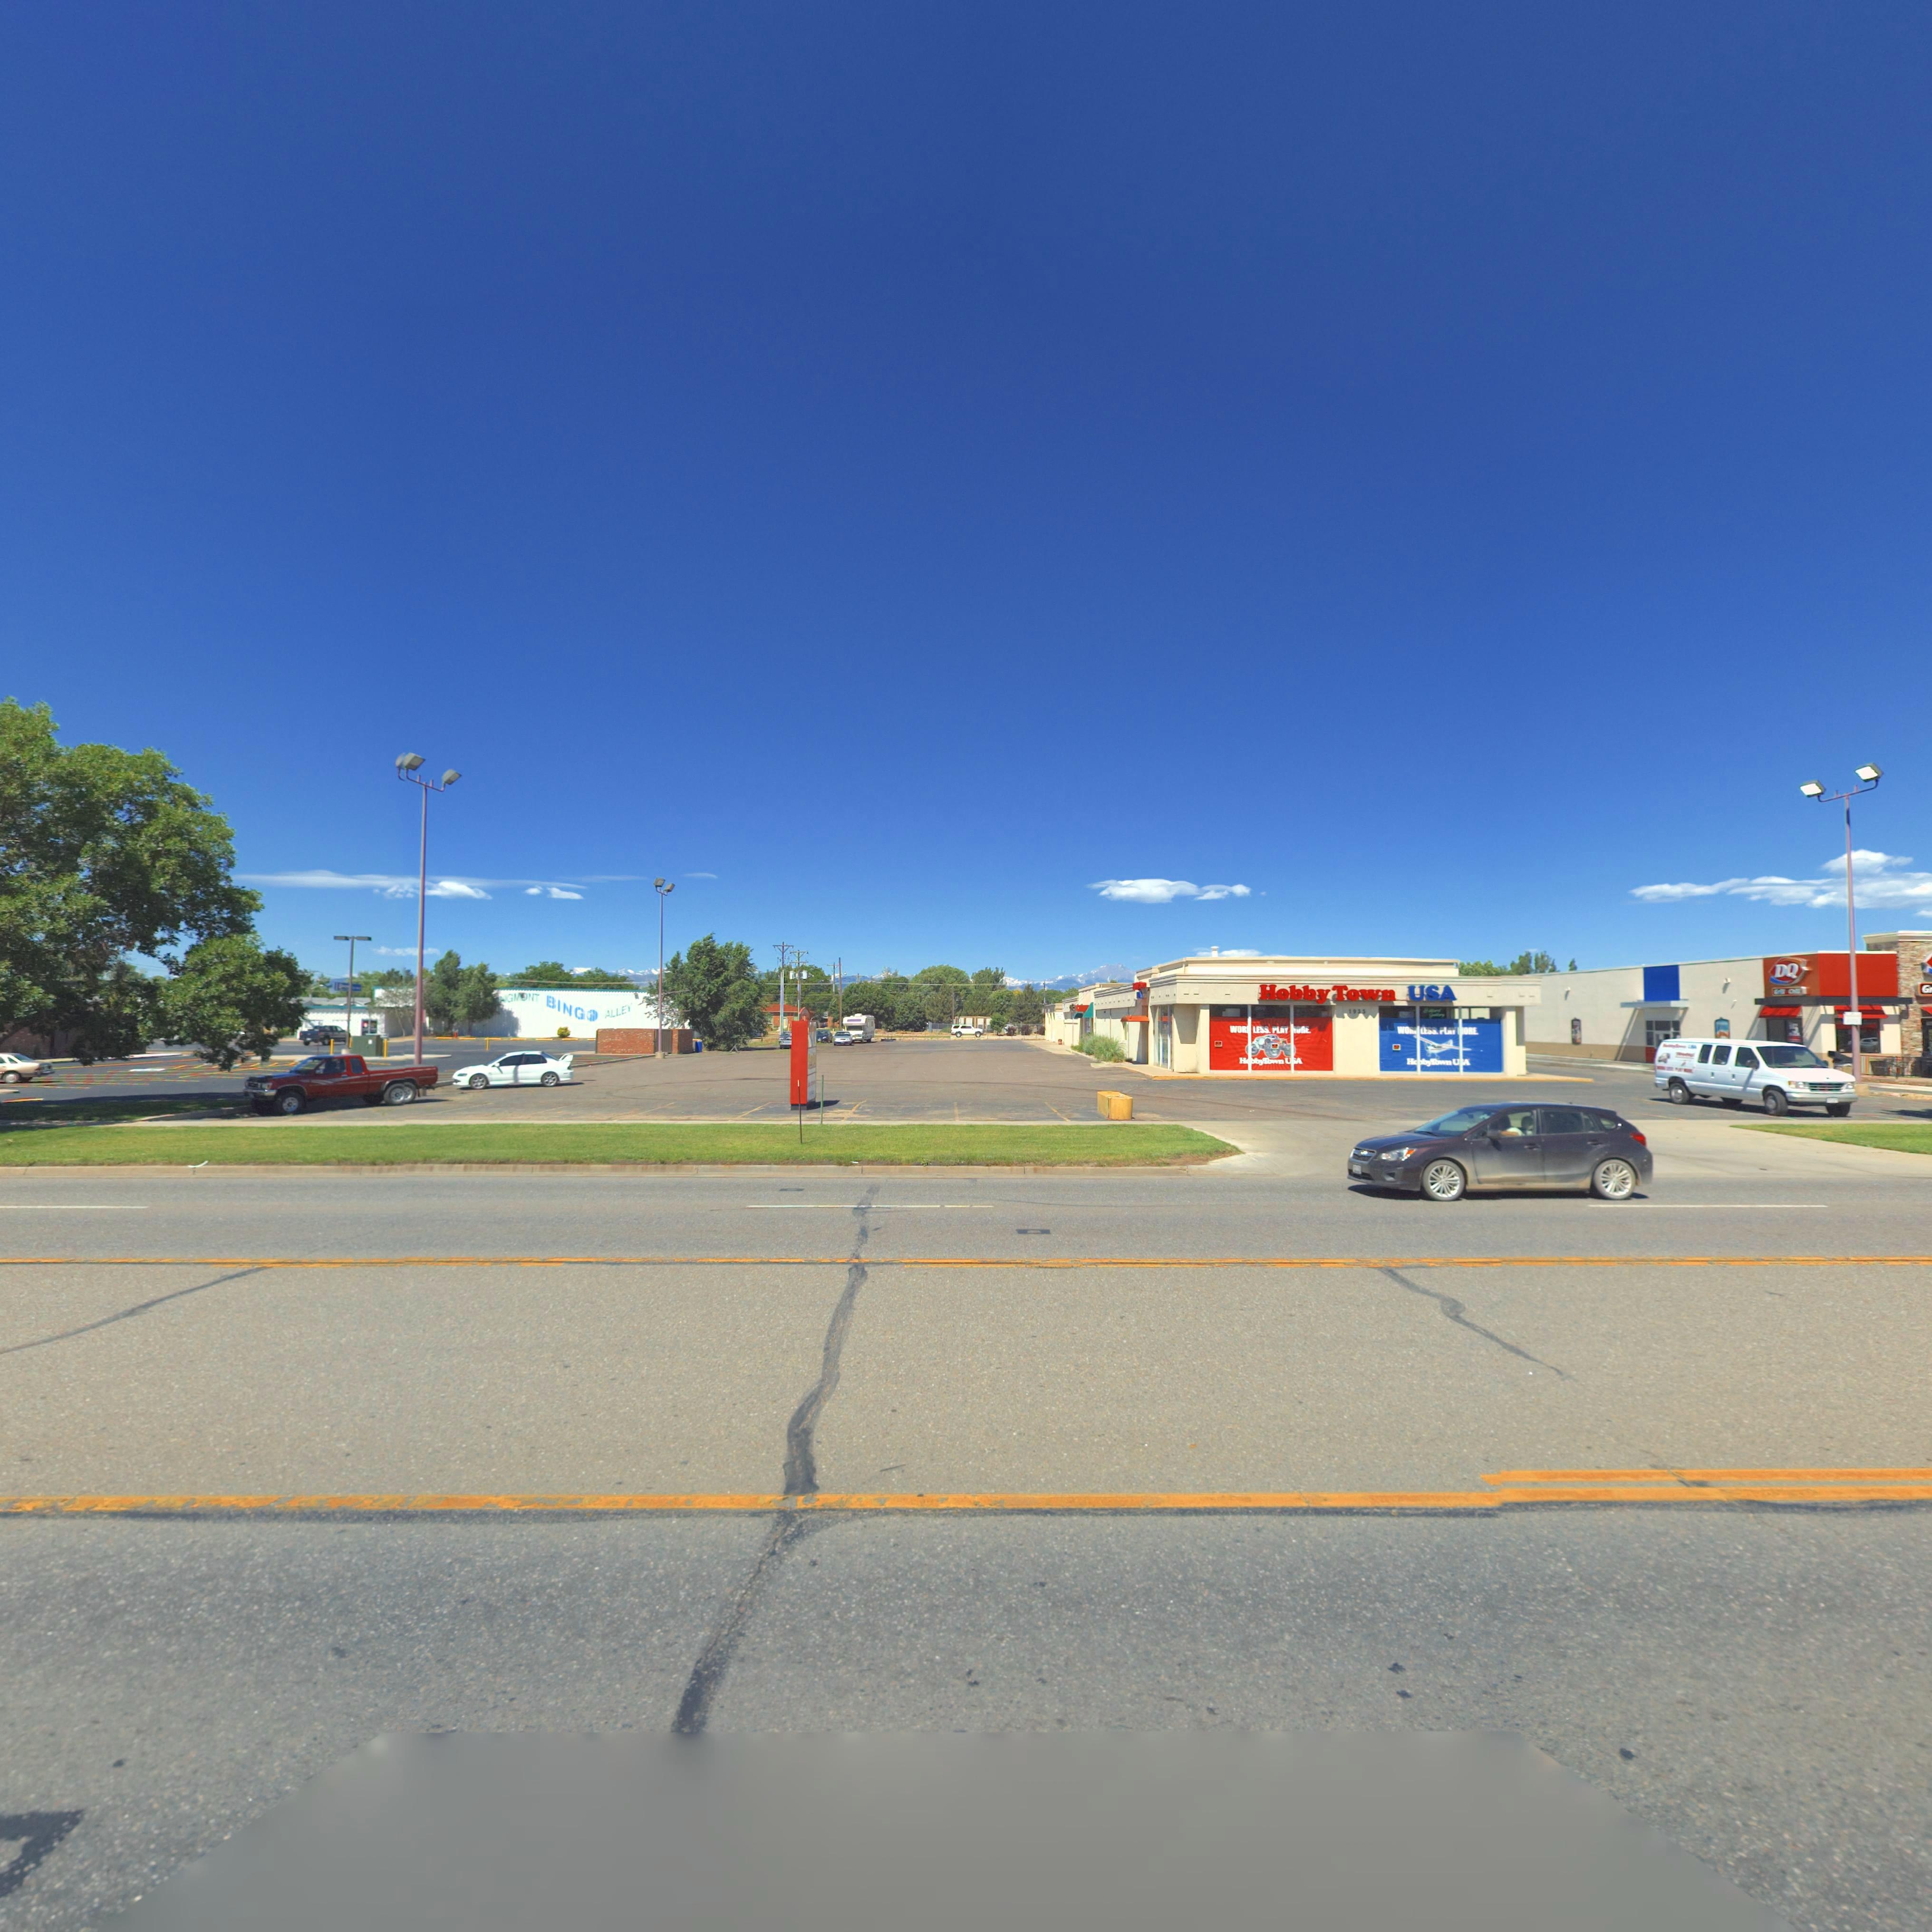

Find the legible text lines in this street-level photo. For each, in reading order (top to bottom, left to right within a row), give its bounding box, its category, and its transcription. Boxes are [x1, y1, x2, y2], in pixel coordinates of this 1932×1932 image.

[1774, 962, 1799, 979] BusinessName: DQ
[1258, 984, 1457, 1005] BusinessName: HobbyTown USA
[499, 991, 633, 1023] BusinessName: NGMONT BING* ALLEY
[1349, 1008, 1366, 1014] StreetNumber: 1935